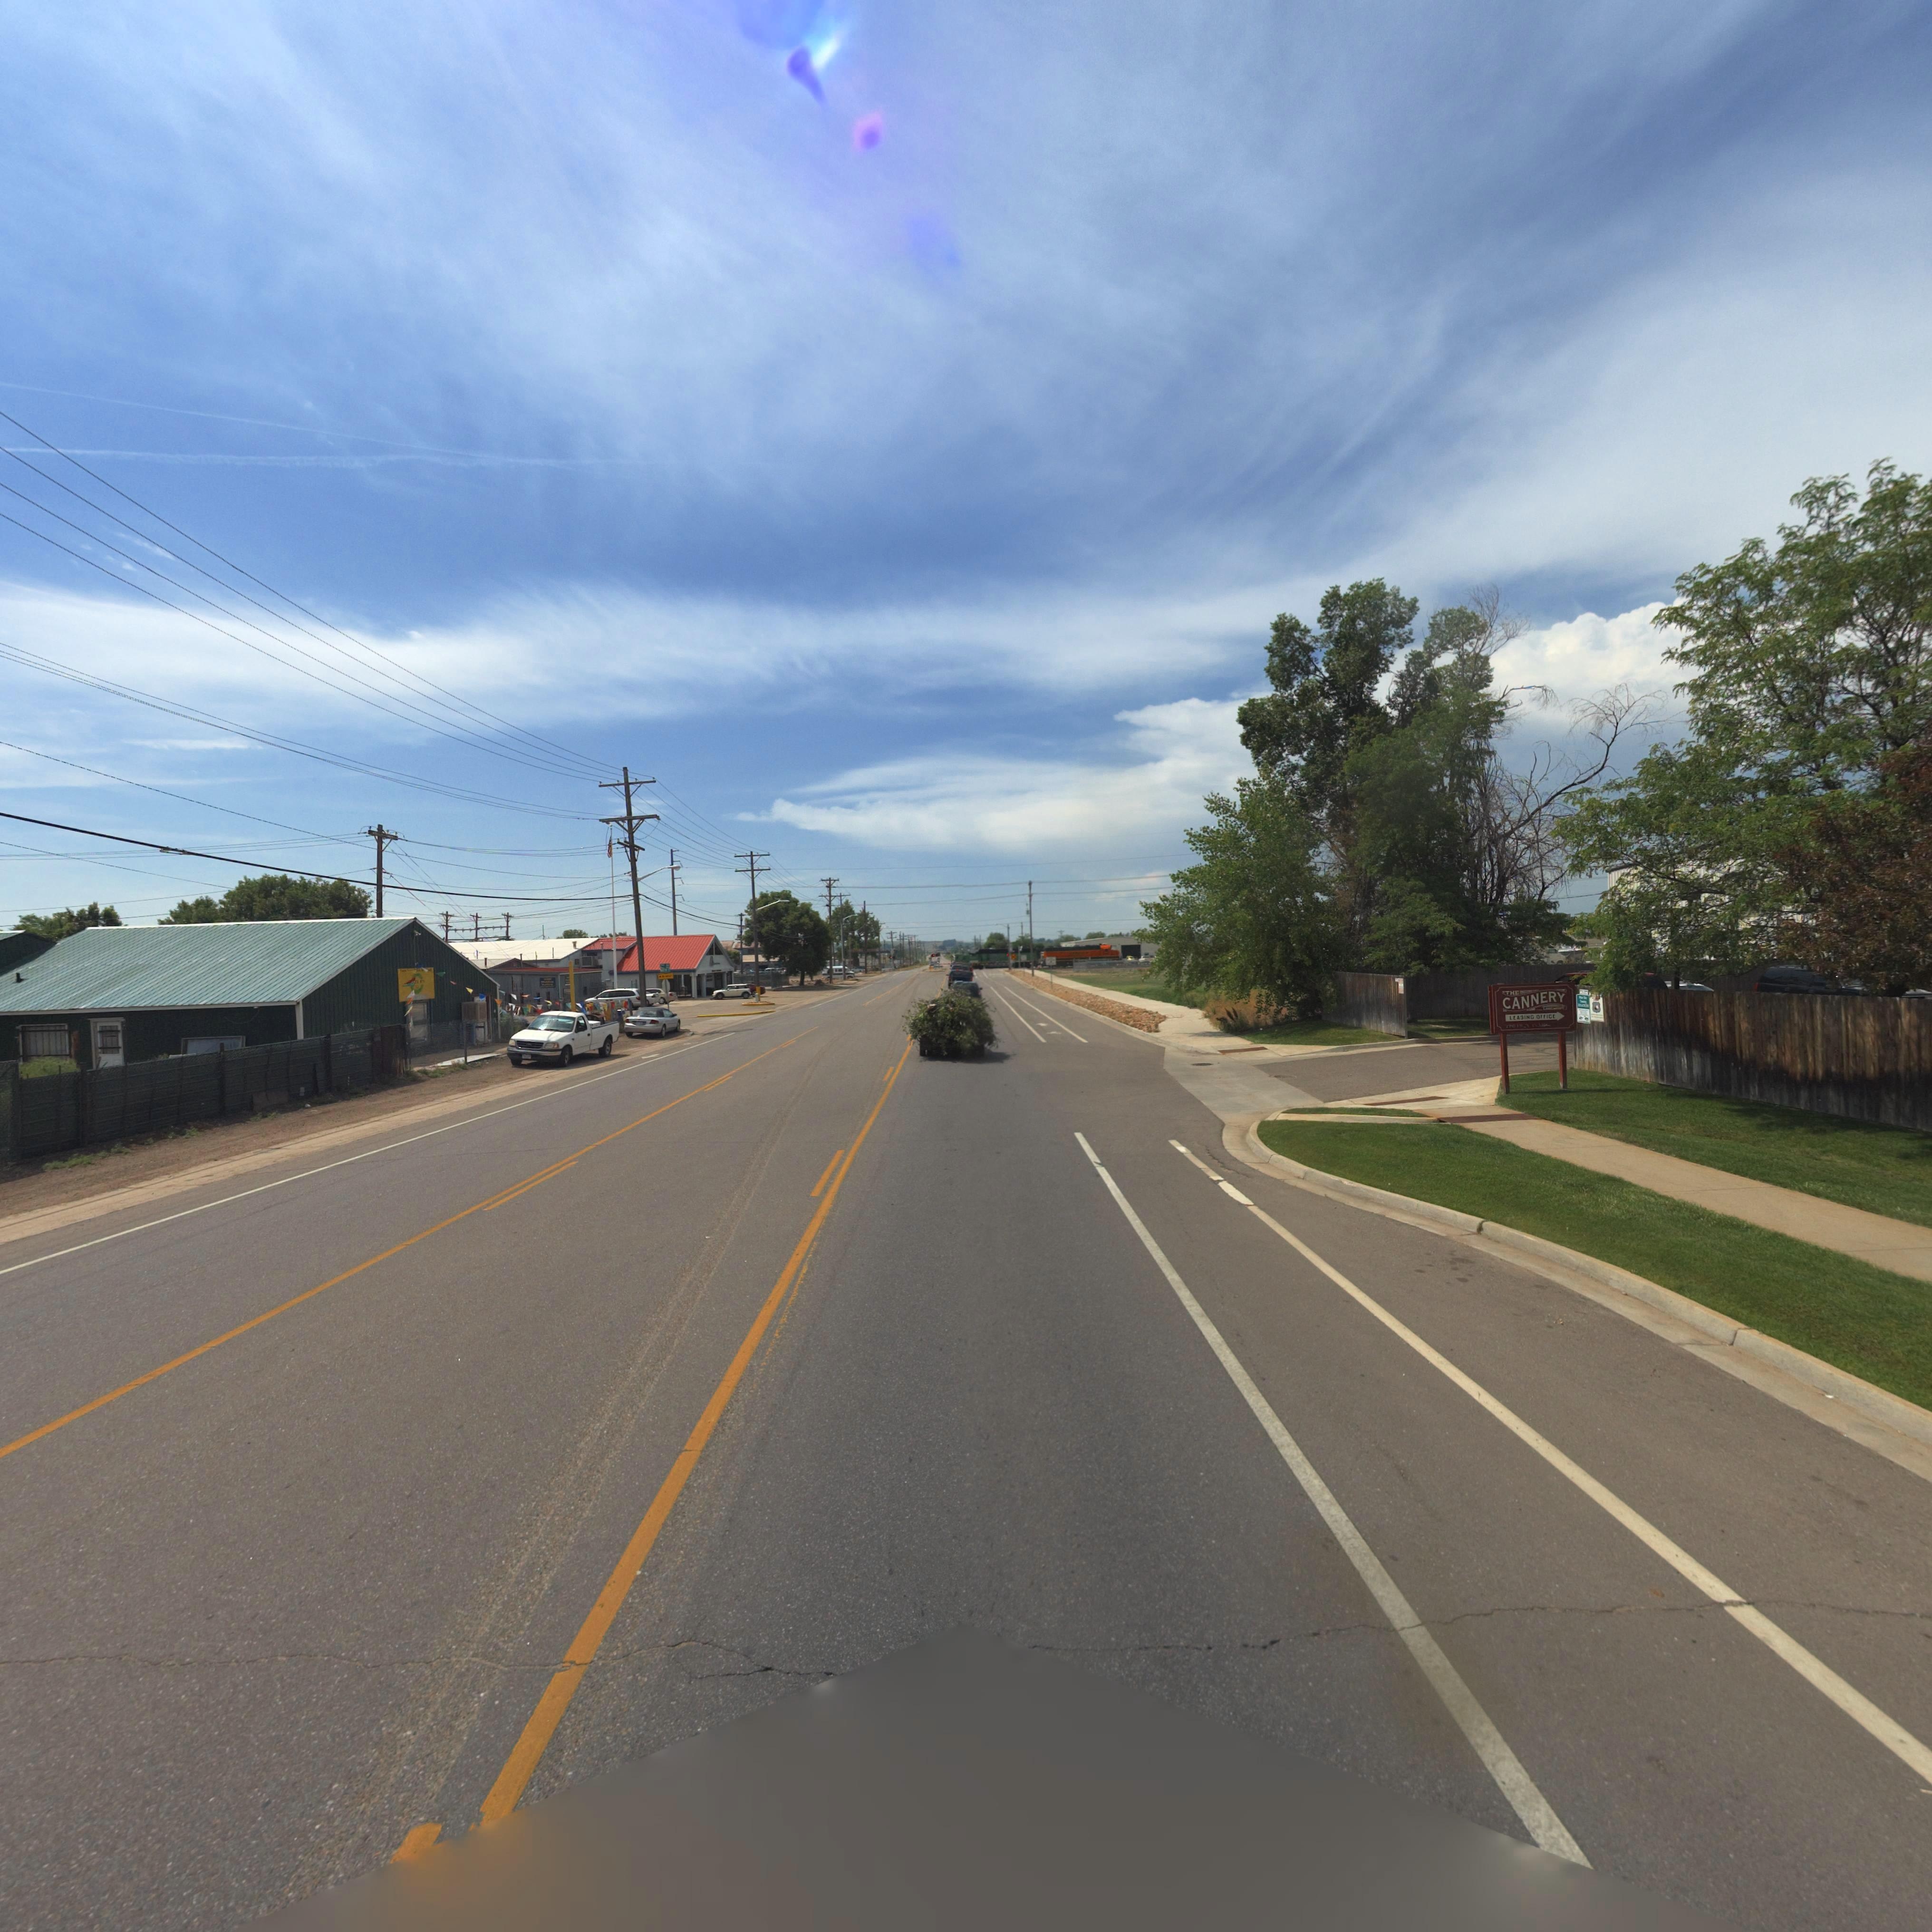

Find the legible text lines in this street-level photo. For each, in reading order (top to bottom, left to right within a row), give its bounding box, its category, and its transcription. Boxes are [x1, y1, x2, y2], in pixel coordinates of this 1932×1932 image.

[1504, 990, 1519, 995] BusinessName: THE
[1502, 991, 1566, 1010] BusinessName: CANNERY